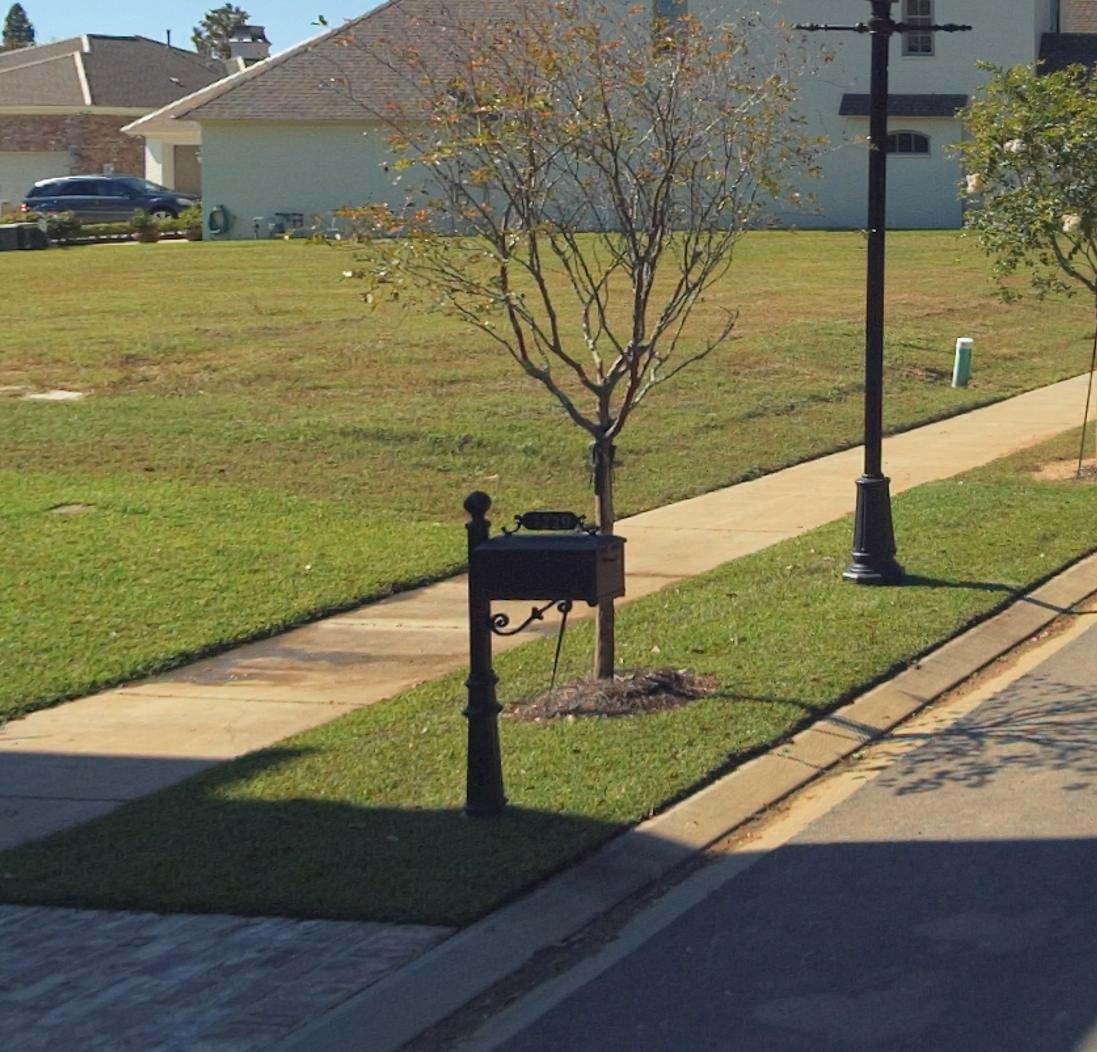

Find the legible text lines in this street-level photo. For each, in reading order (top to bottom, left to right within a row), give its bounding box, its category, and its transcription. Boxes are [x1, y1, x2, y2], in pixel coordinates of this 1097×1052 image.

[531, 514, 571, 528] StreetNumber: 7729